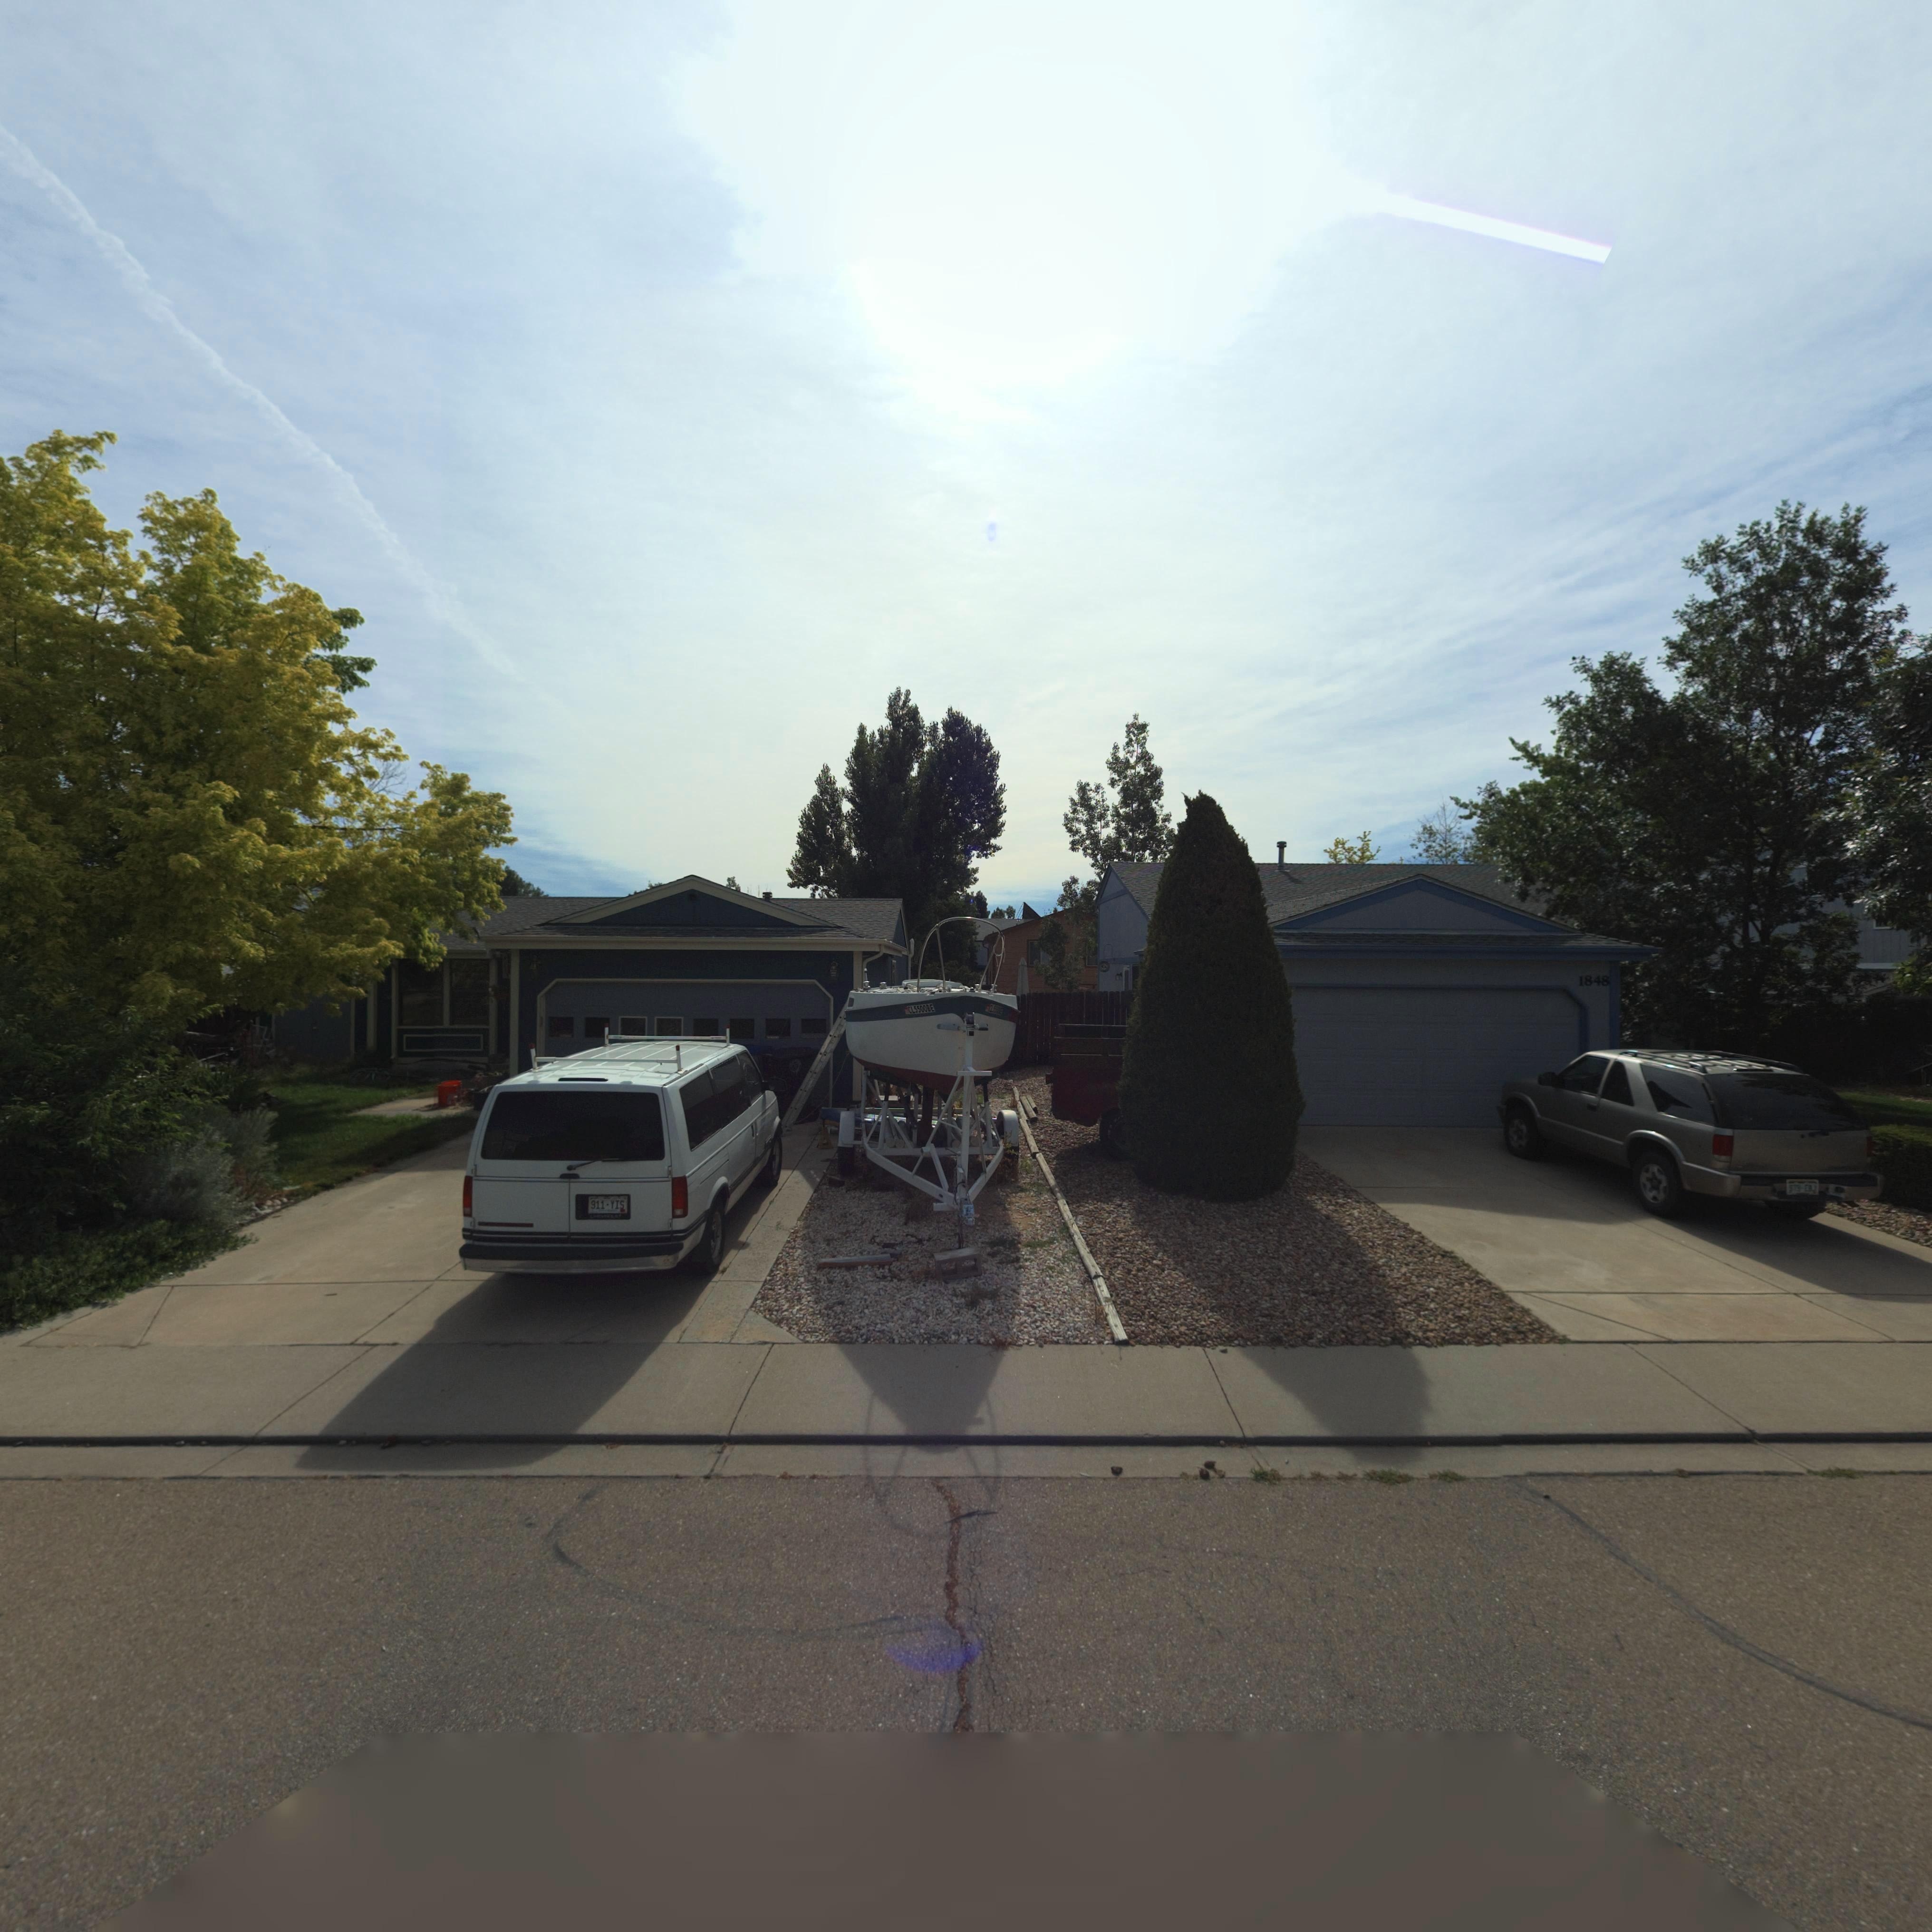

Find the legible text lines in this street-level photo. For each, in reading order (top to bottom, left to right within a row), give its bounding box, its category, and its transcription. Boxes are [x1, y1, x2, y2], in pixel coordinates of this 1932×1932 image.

[1578, 974, 1611, 987] StreetNumber: 1848